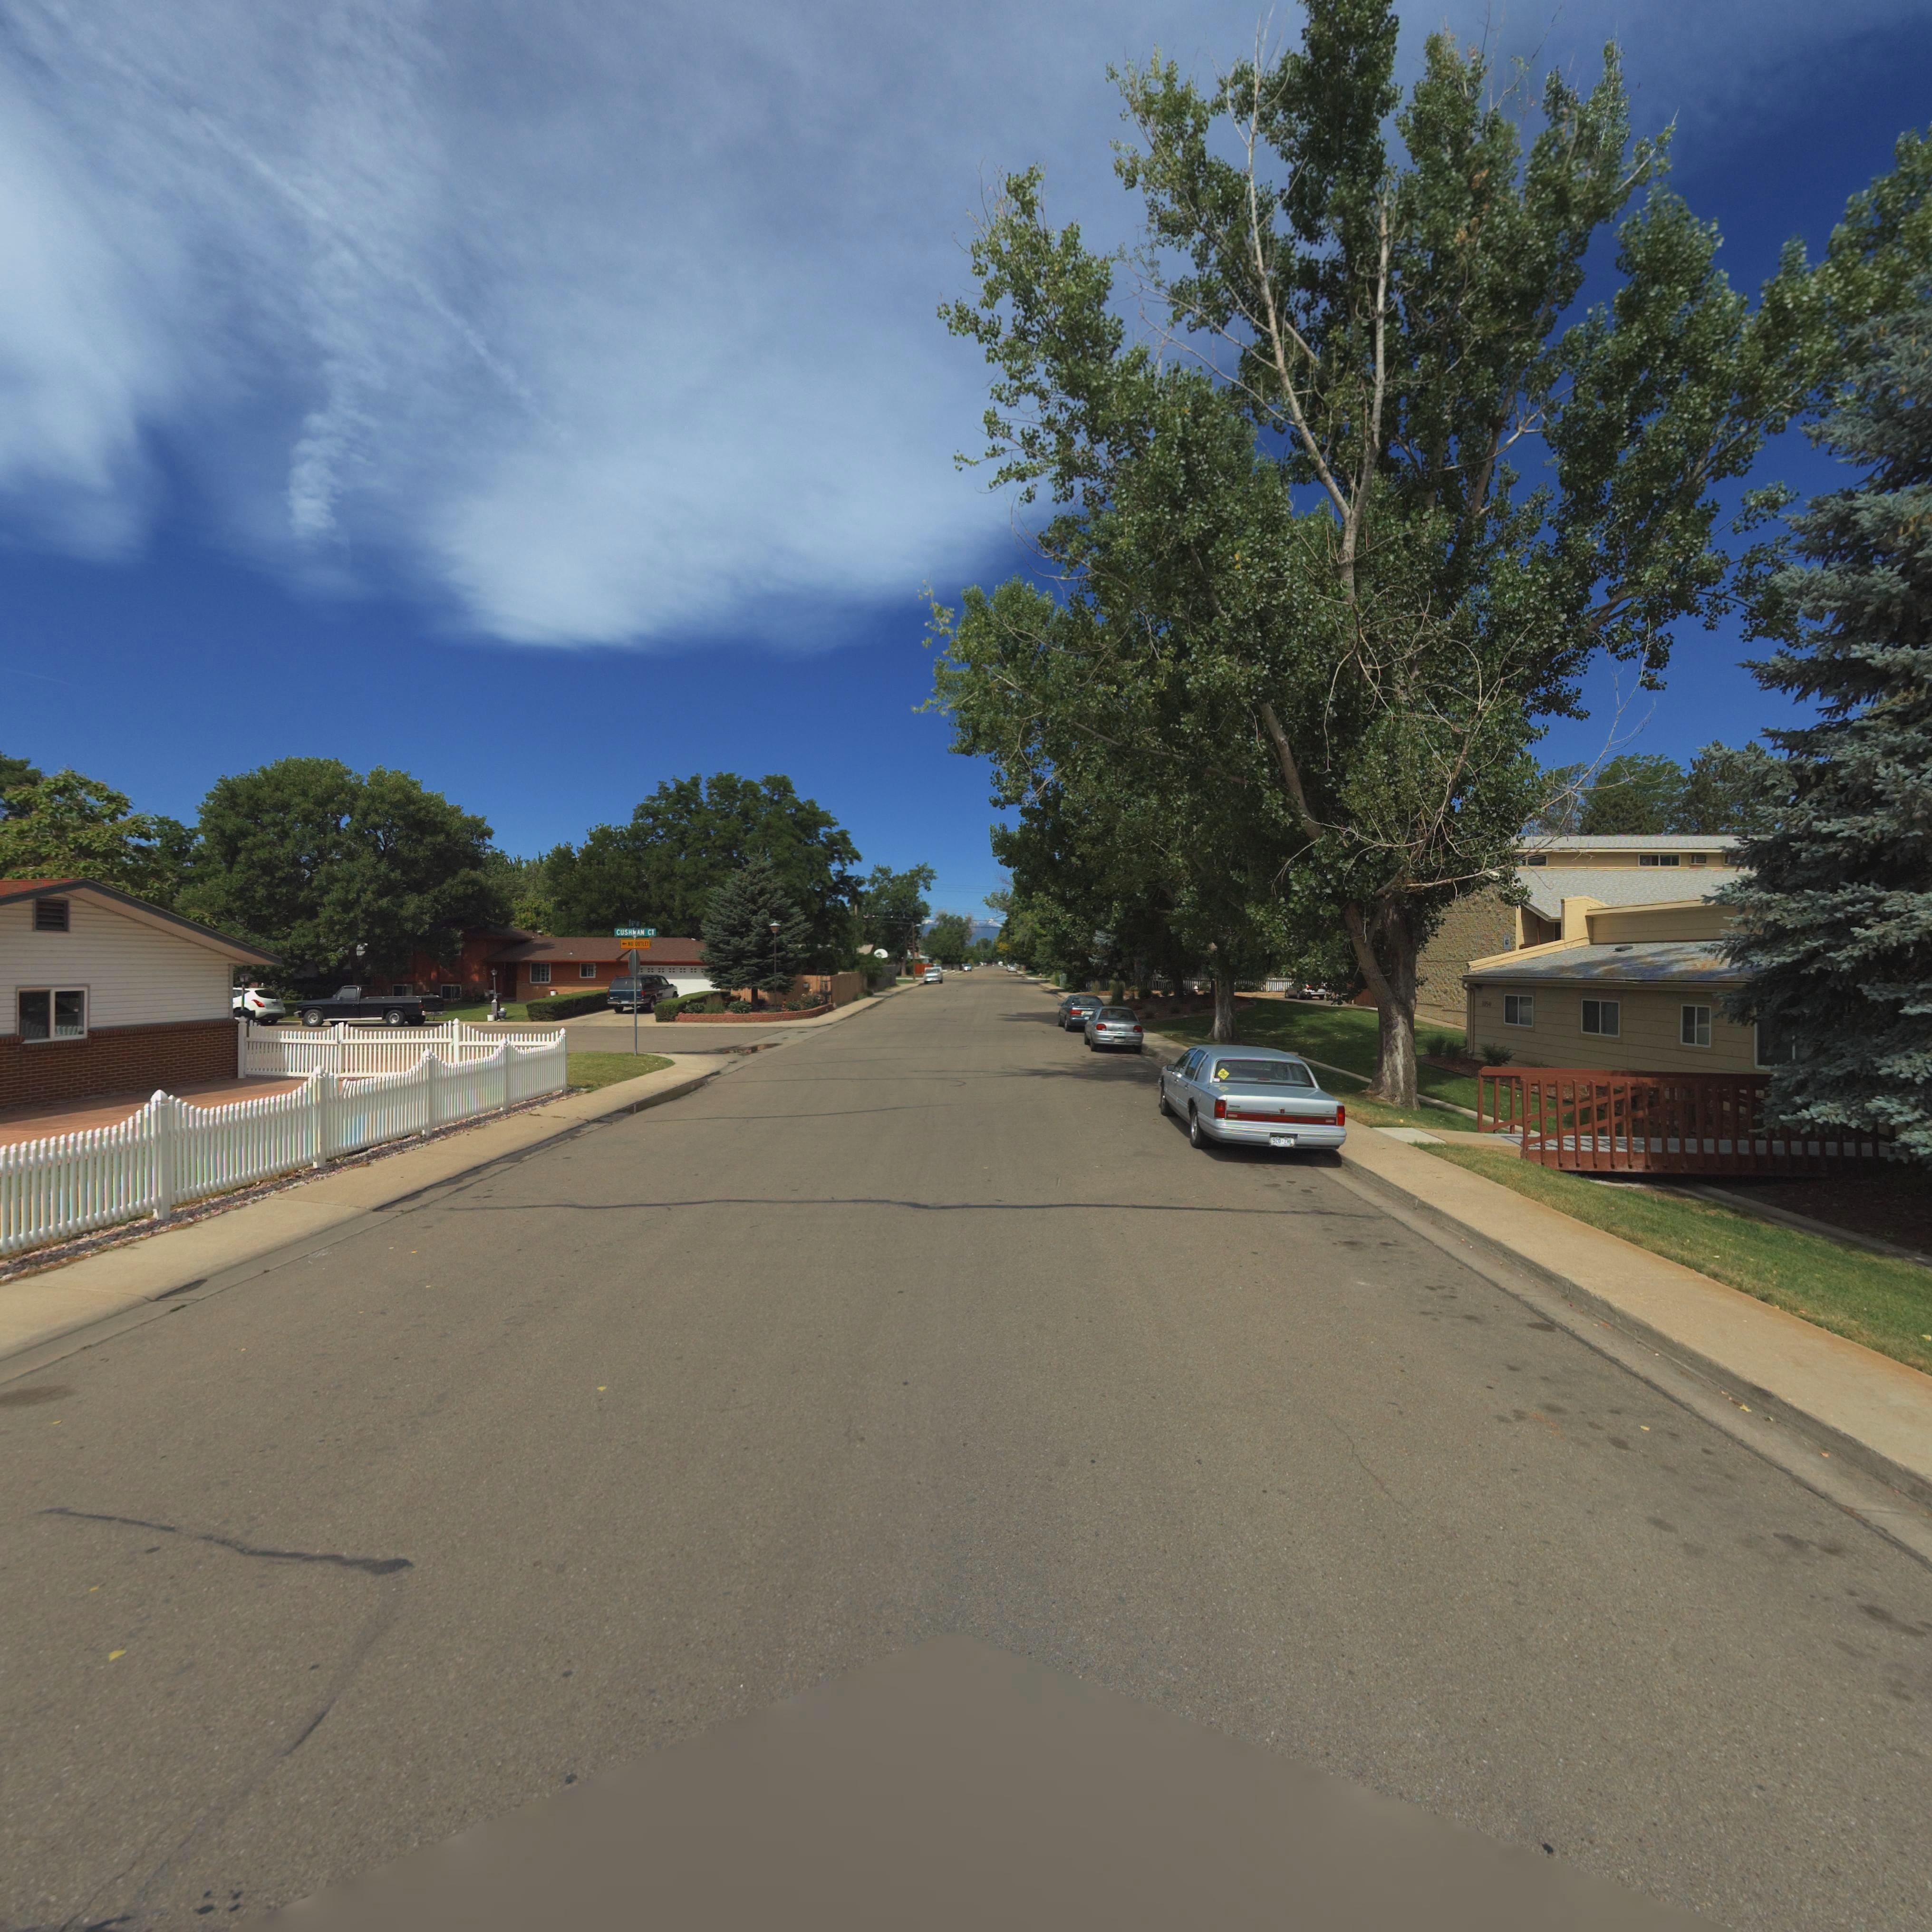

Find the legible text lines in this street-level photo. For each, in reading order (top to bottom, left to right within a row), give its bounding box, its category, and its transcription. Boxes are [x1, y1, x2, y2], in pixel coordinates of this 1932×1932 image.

[616, 929, 654, 935] StreetName: CUSHMAN CT
[1481, 1001, 1492, 1007] StreetNumber: **50